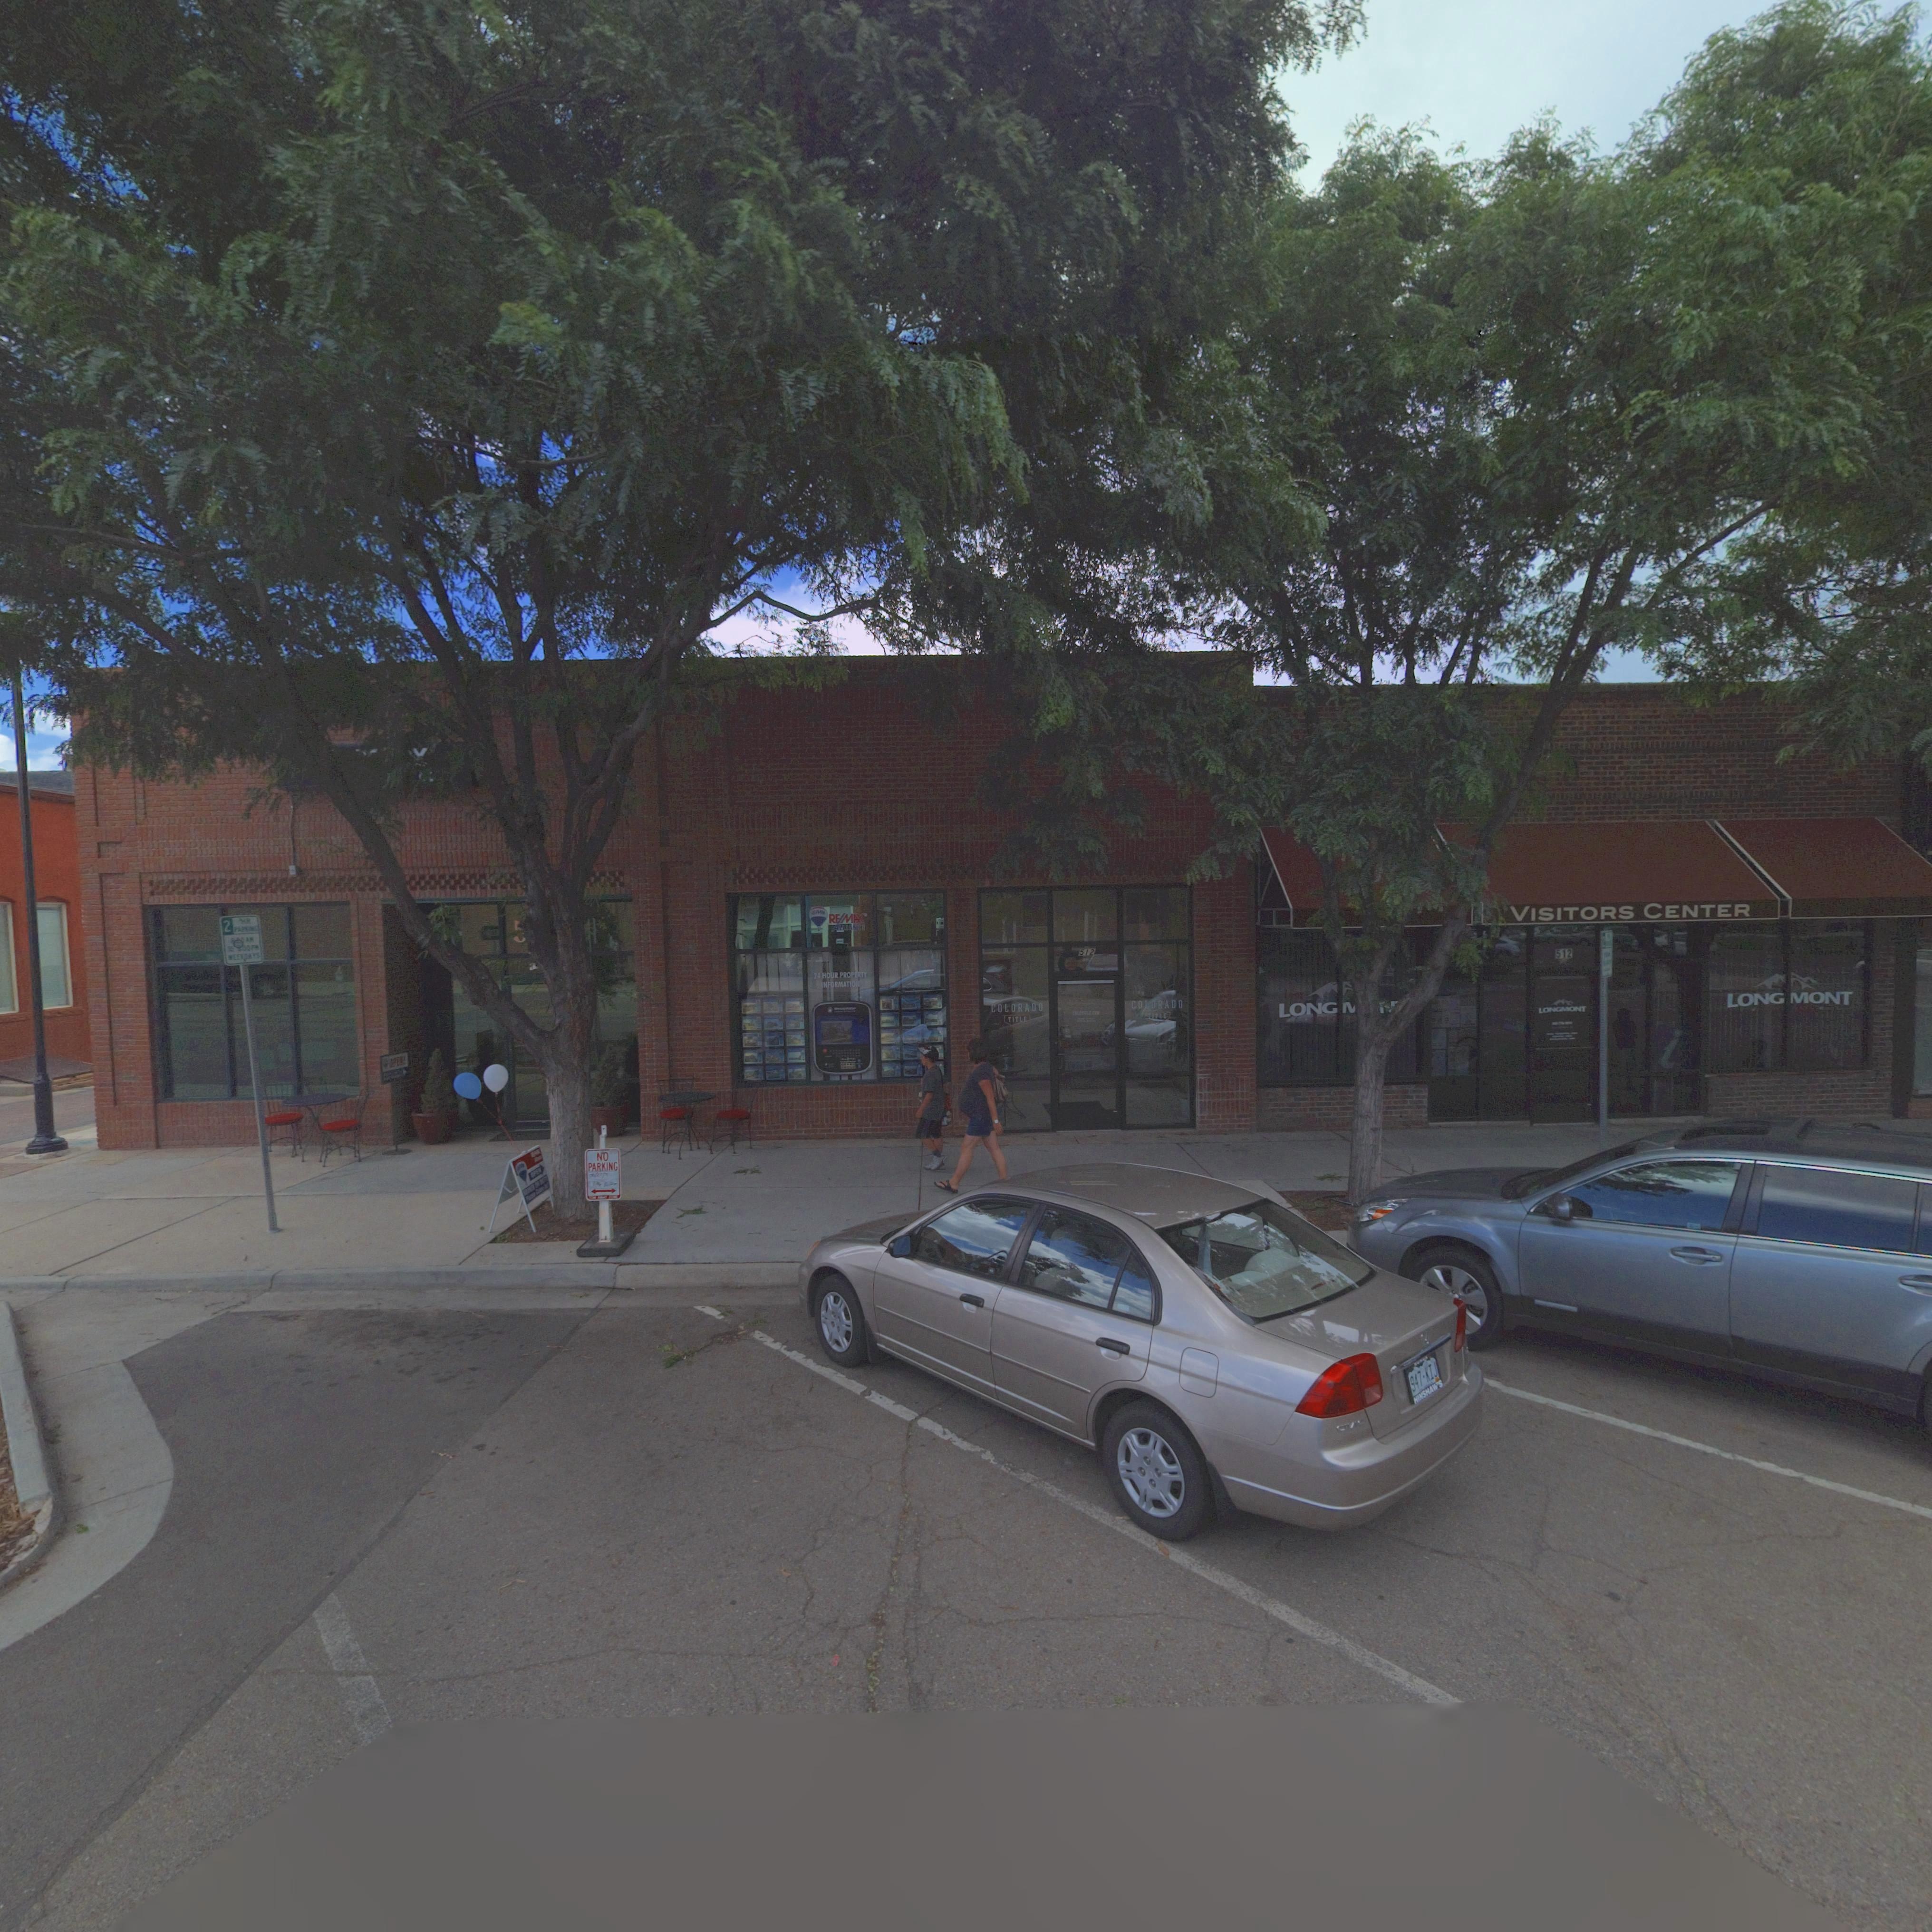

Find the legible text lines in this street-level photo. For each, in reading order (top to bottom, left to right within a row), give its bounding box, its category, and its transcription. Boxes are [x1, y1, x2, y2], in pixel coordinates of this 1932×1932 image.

[1508, 901, 1750, 922] BusinessName: VISITORS CENTER
[828, 913, 864, 924] BusinessName: RE/MAX
[513, 920, 526, 943] StreetNumber: 5
[831, 924, 865, 930] BusinessName: ALLIANCE
[1079, 949, 1094, 956] StreetNumber: 512
[1555, 948, 1574, 959] StreetNumber: 512